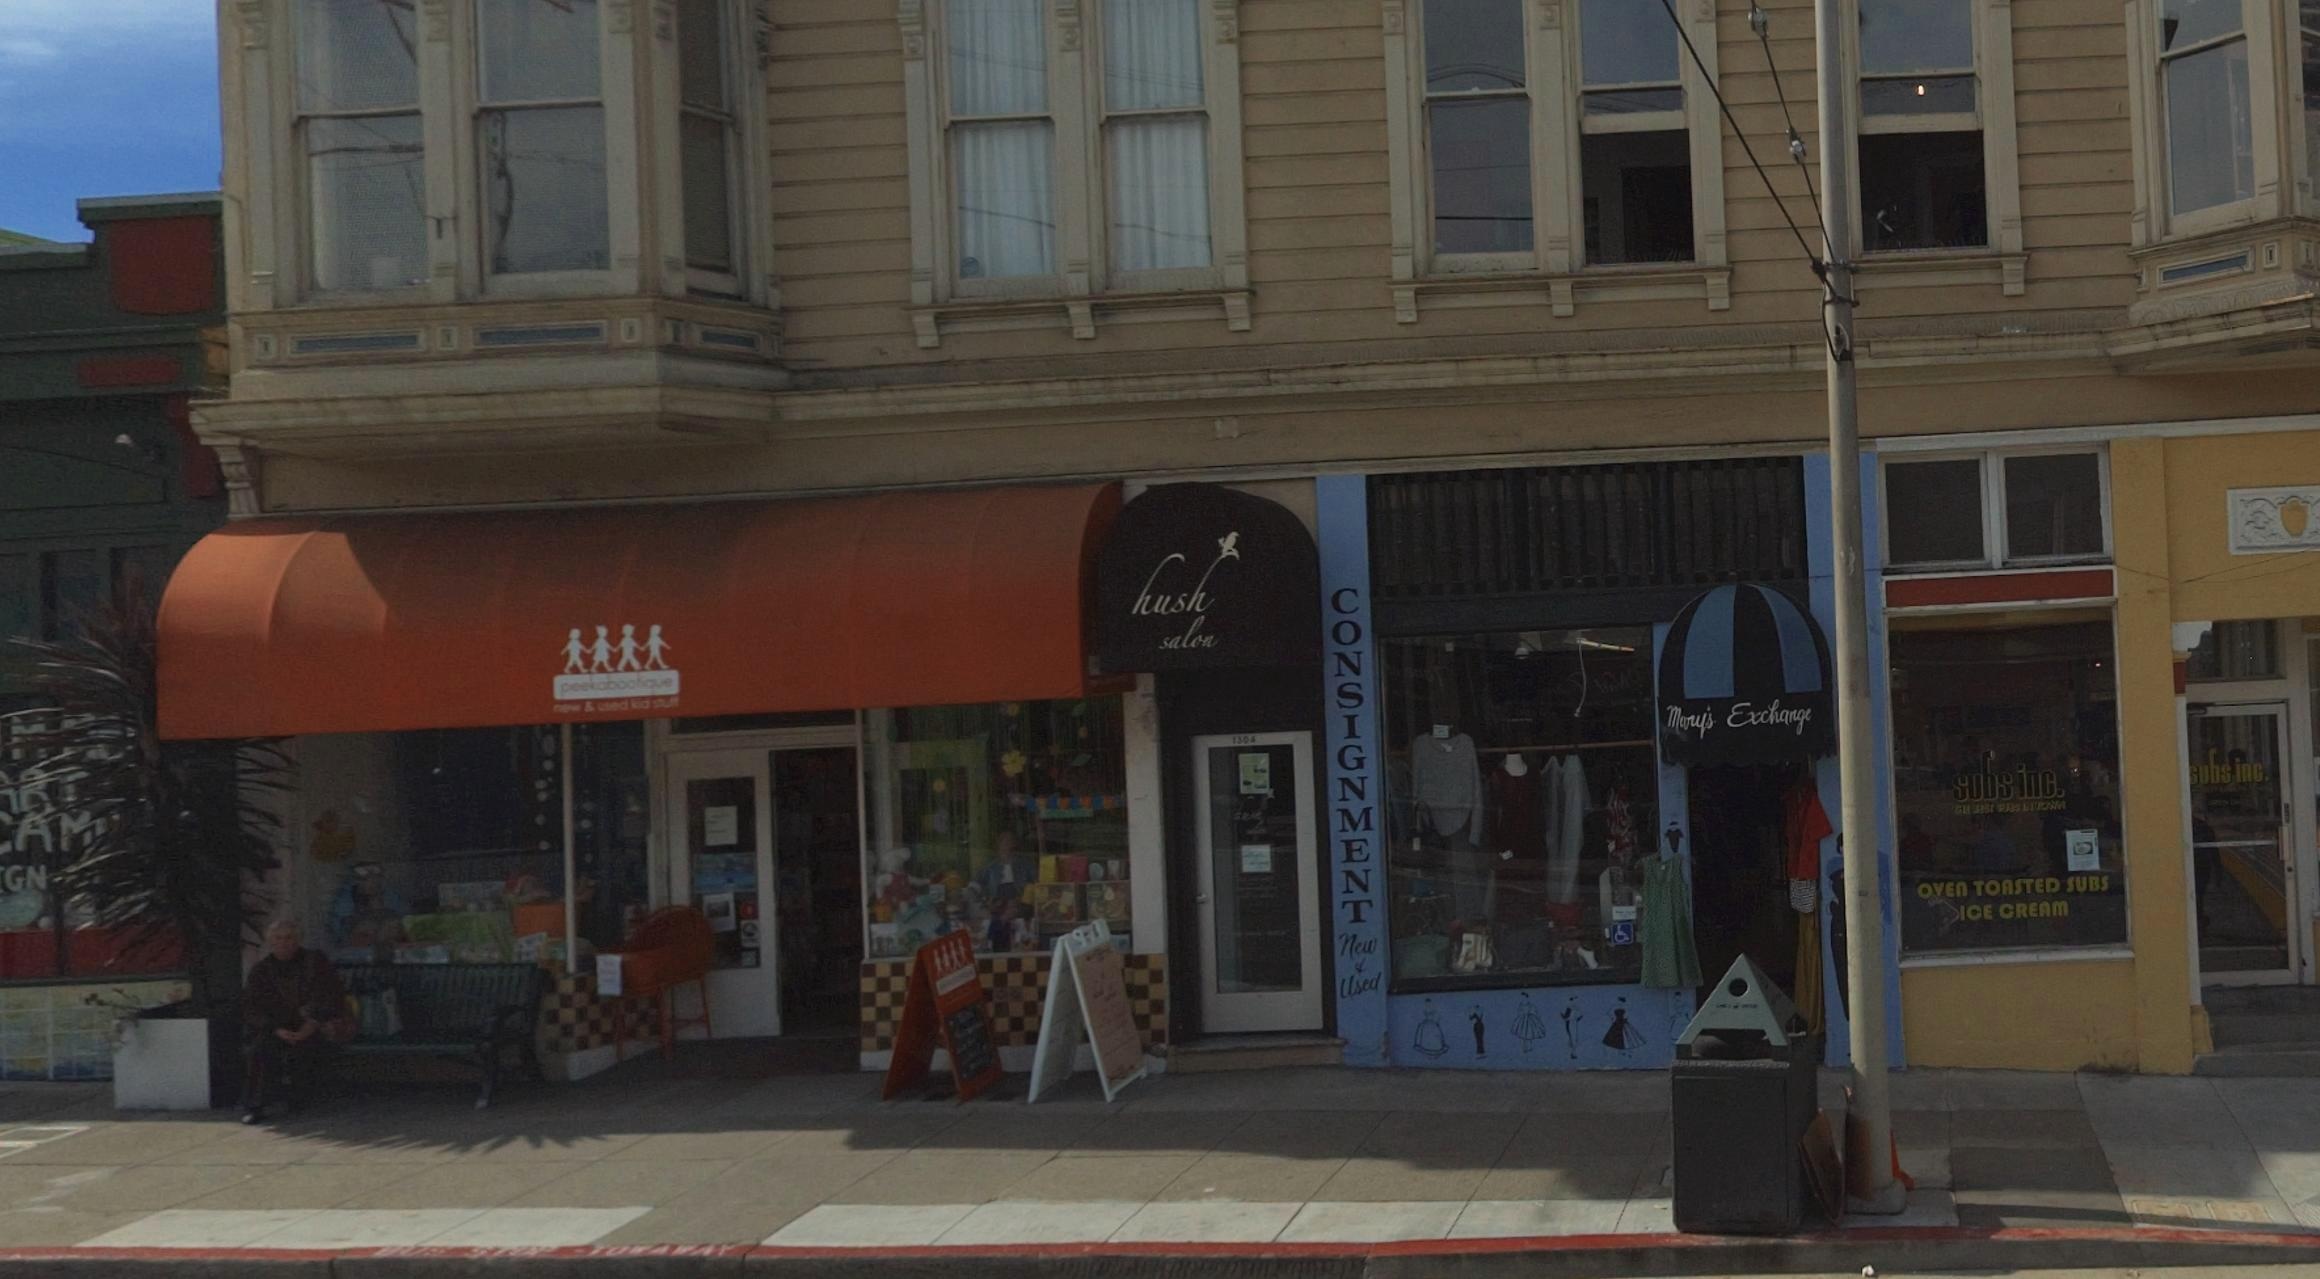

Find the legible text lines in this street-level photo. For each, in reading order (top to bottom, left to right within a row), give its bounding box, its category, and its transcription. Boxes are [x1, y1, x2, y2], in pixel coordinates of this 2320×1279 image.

[1125, 551, 1226, 617] BusinessName: hush
[1157, 613, 1221, 652] BusinessName: salon
[558, 672, 675, 698] BusinessName: peekabootique
[551, 694, 681, 716] None: new & used kid stuff
[1665, 697, 1814, 739] BusinessName: Mary's Exchange
[1230, 735, 1258, 746] StreetNumber: 1394
[1329, 584, 1376, 925] None: CONSIGNMENT
[1950, 748, 2066, 802] BusinessName: subs inc.
[2189, 745, 2271, 785] BusinessName: subs inc.
[13, 805, 55, 853] None: A
[4, 862, 50, 895] None: GN
[1914, 873, 2110, 901] None: OVEN TOASTED SUBS
[1958, 899, 2071, 921] None: ICE CREAM
[1338, 931, 1379, 962] None: New
[1339, 970, 1382, 1001] None: Used
[580, 1242, 741, 1258] None: TOWAWAY